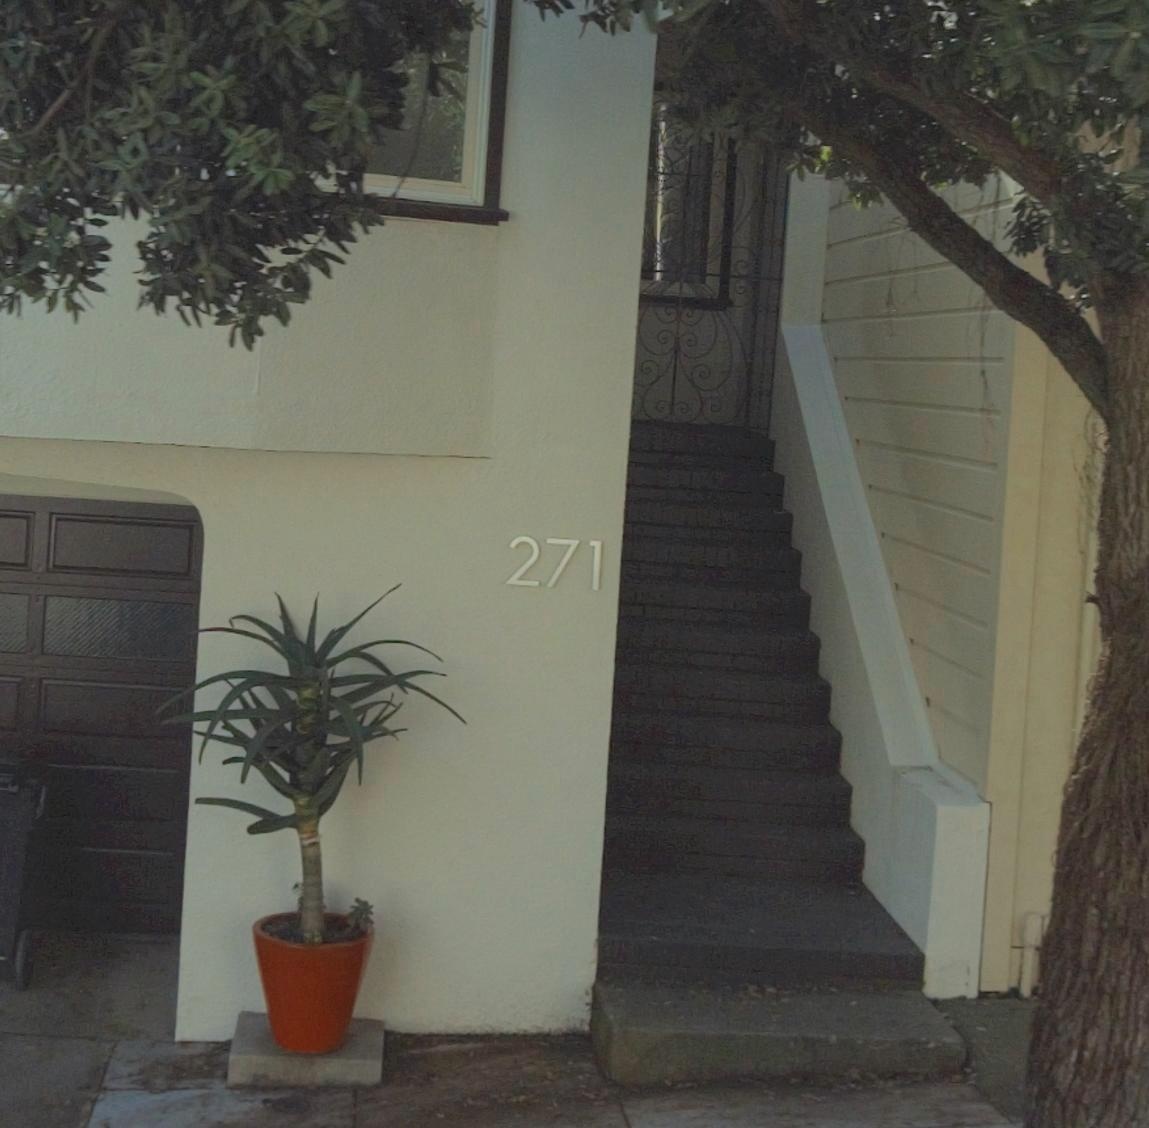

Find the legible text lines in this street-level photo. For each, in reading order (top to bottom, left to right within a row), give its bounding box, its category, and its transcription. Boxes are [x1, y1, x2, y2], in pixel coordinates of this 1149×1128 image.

[499, 534, 608, 592] StreetNumber: 271